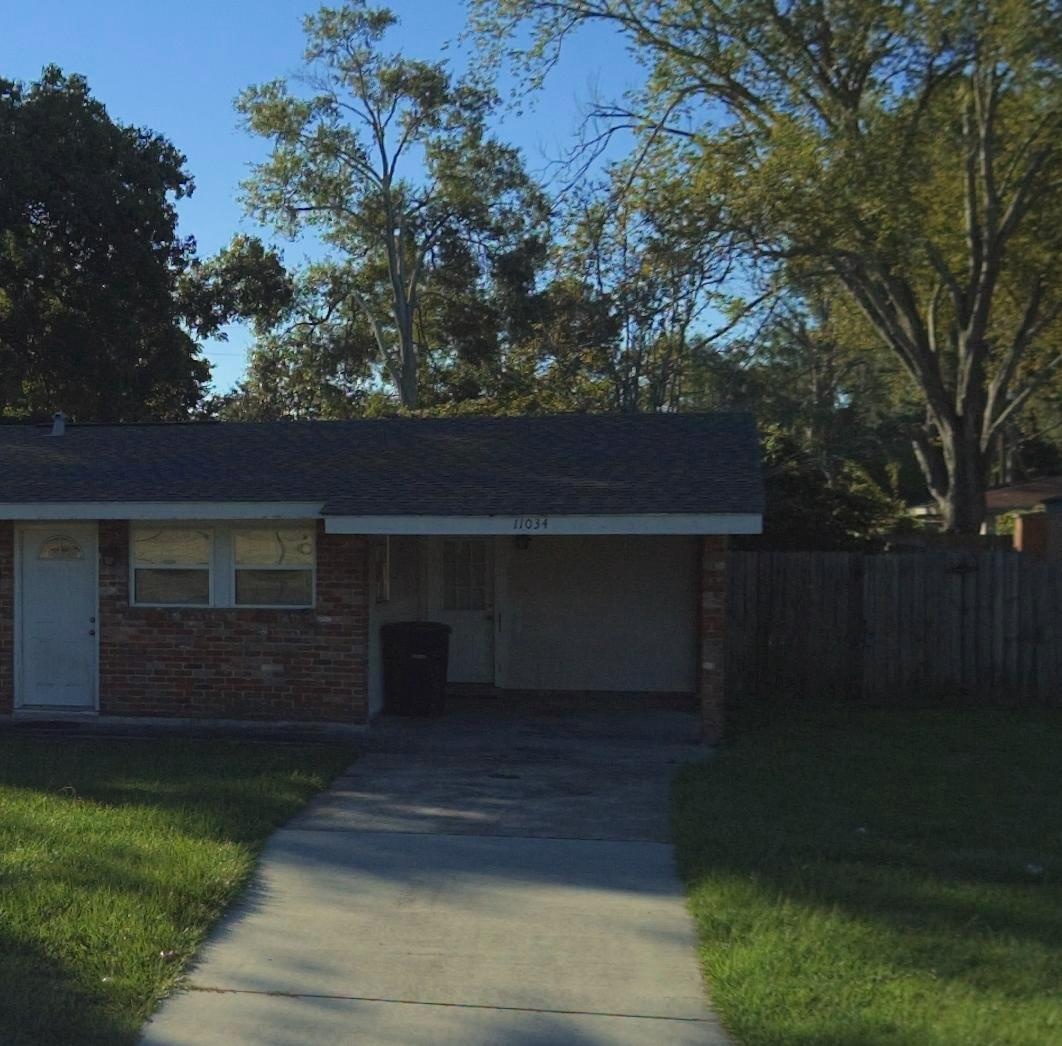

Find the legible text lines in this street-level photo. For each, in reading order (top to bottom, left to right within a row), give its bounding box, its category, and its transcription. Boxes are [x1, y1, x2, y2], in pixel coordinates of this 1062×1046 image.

[512, 516, 549, 531] StreetNumber: 11034